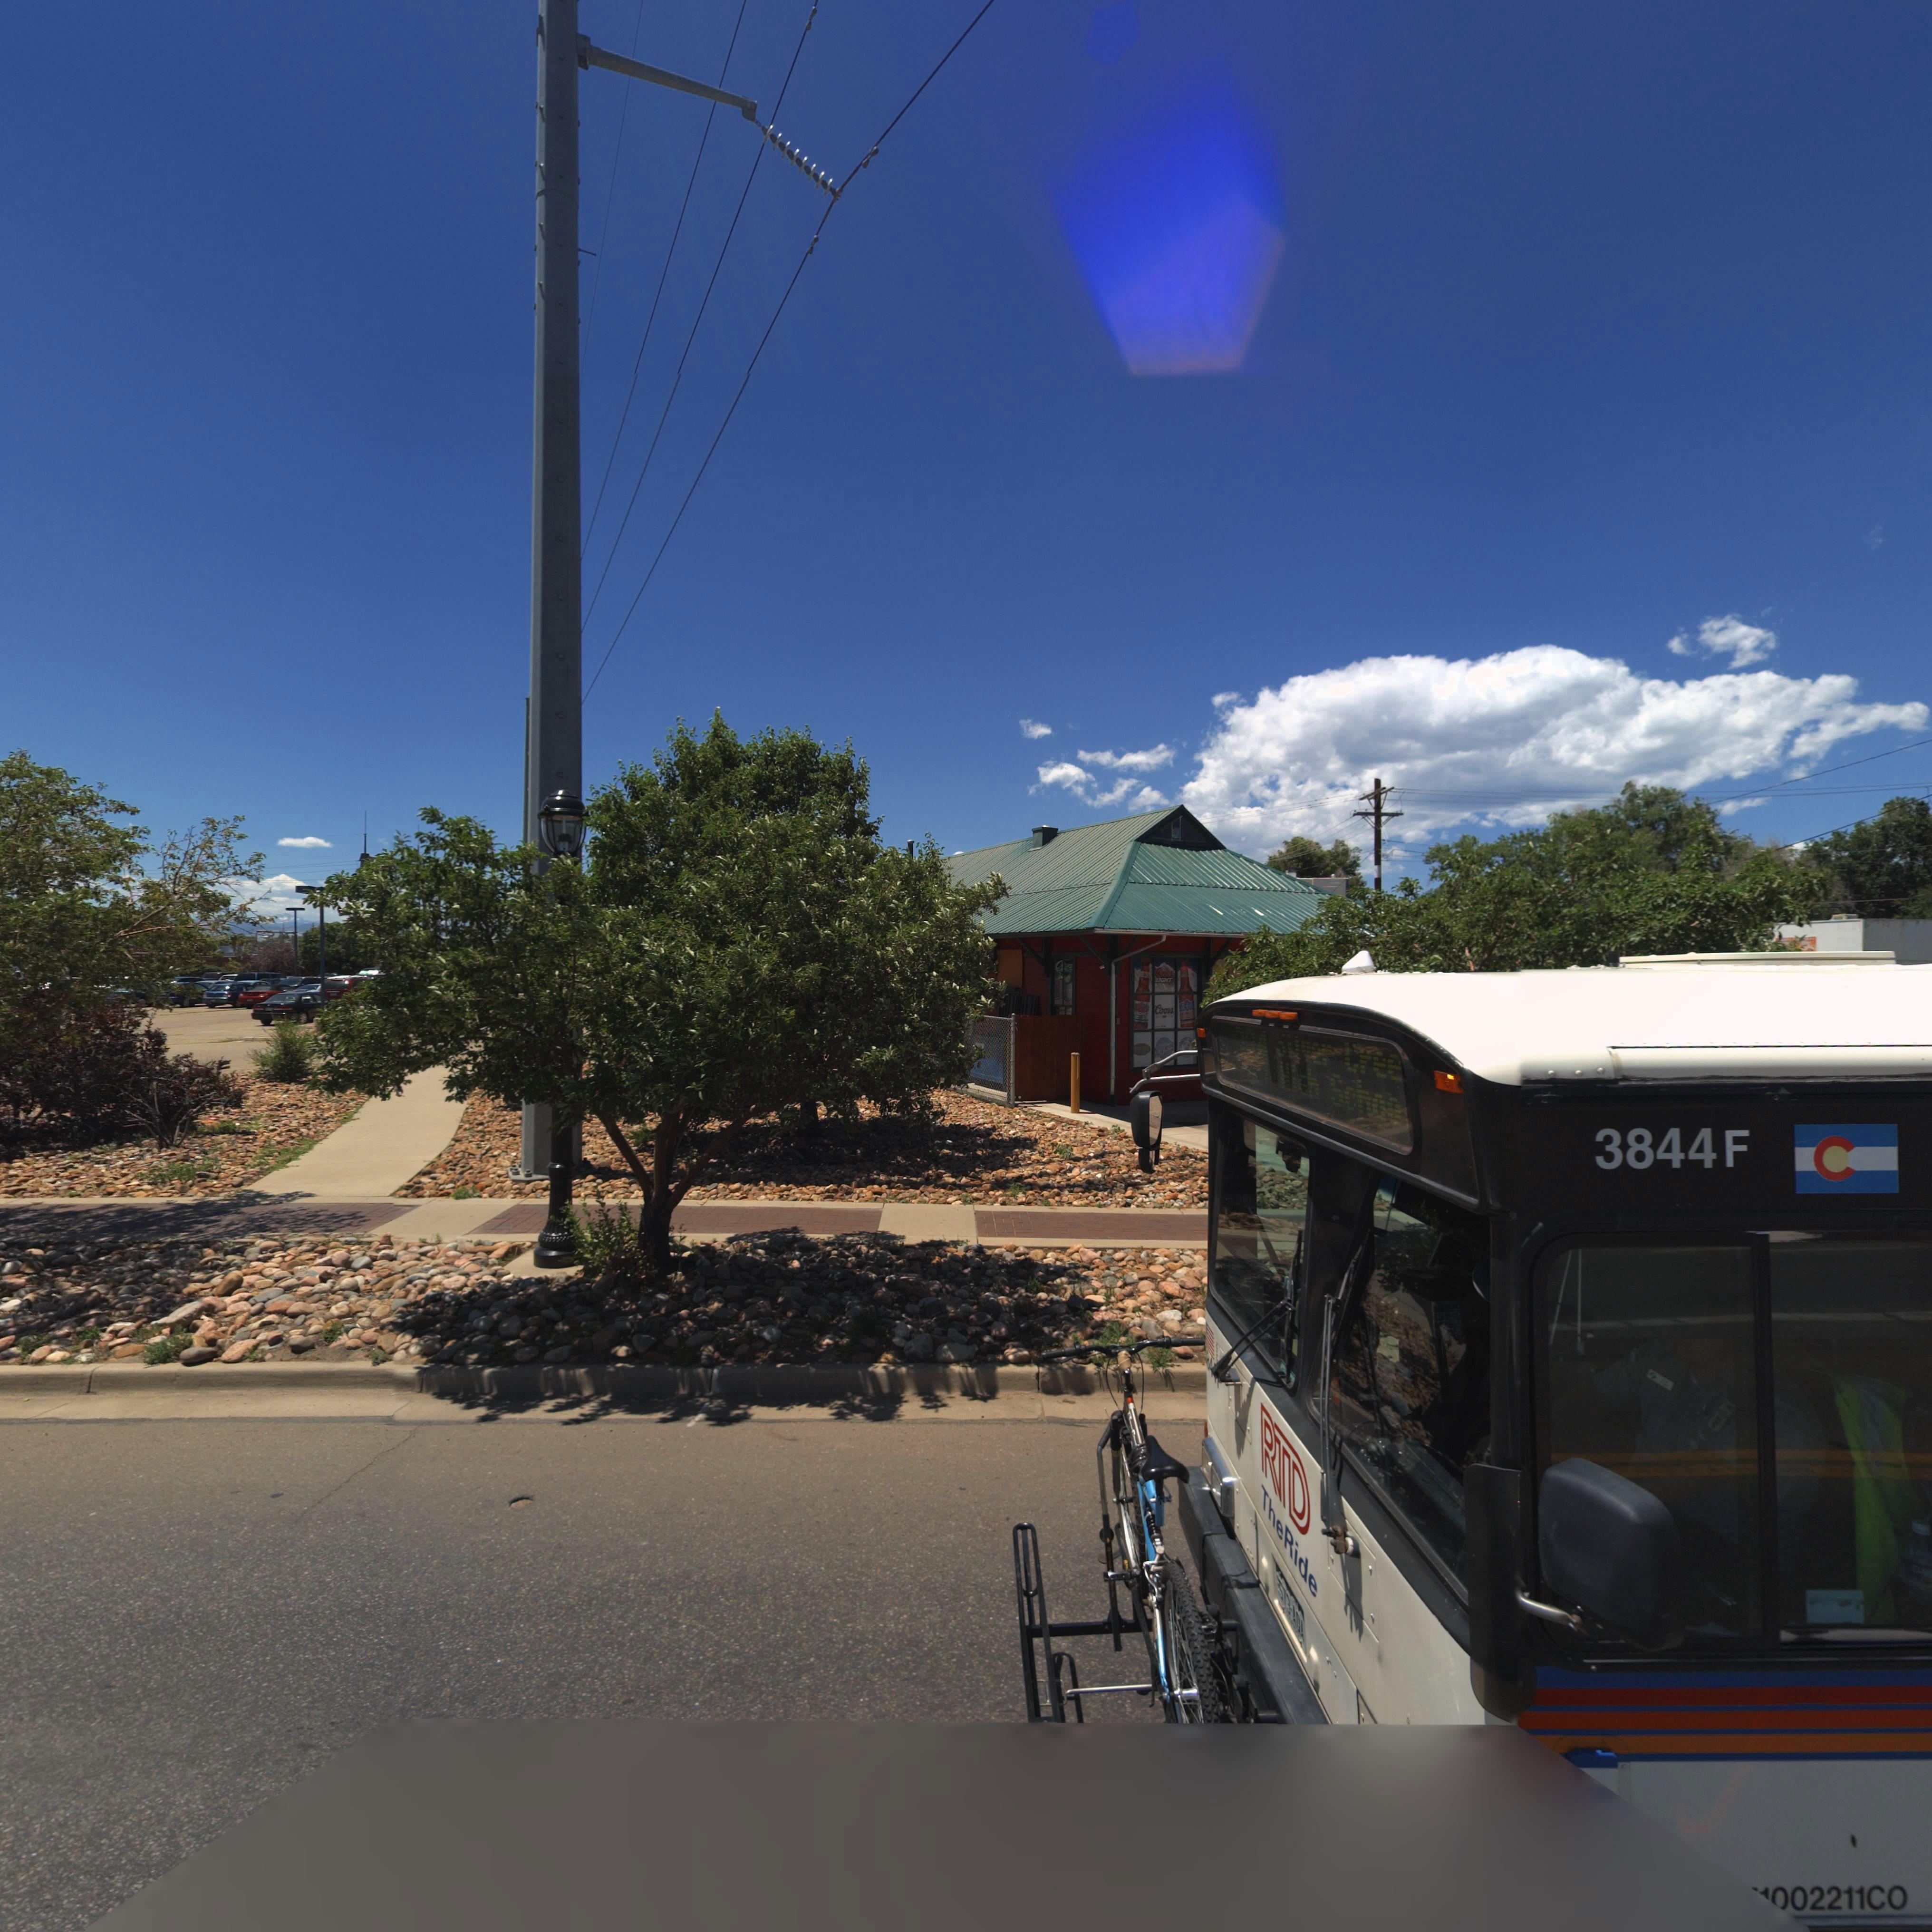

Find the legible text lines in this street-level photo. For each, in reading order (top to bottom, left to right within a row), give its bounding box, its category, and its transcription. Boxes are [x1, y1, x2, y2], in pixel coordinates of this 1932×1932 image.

[1771, 1886, 1907, 1911] PhoneNumber: 002211C0